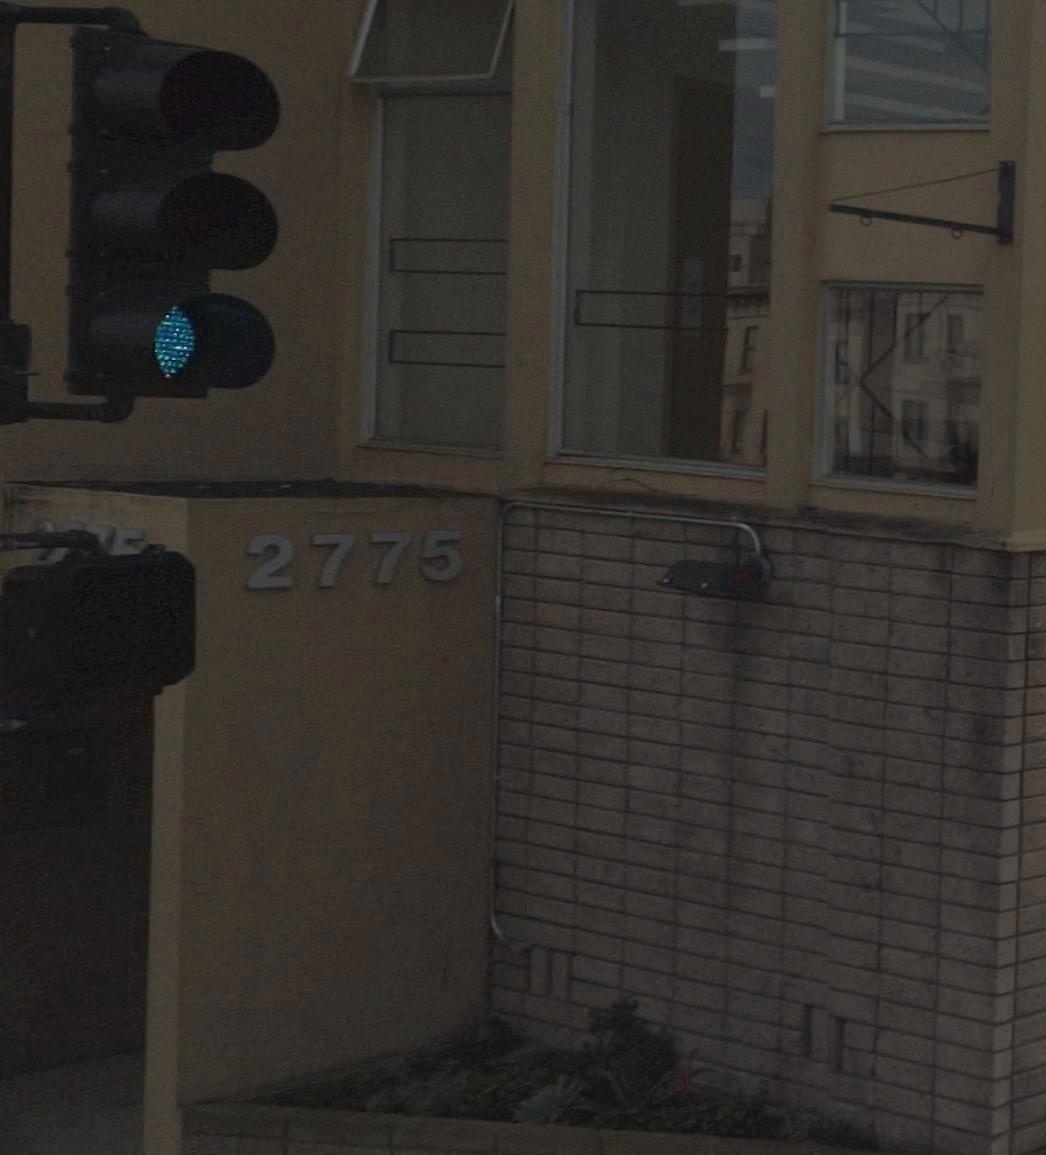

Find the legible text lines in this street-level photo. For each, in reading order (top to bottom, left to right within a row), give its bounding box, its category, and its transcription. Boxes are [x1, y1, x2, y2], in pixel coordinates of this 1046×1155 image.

[241, 526, 465, 595] StreetNumber: 2775